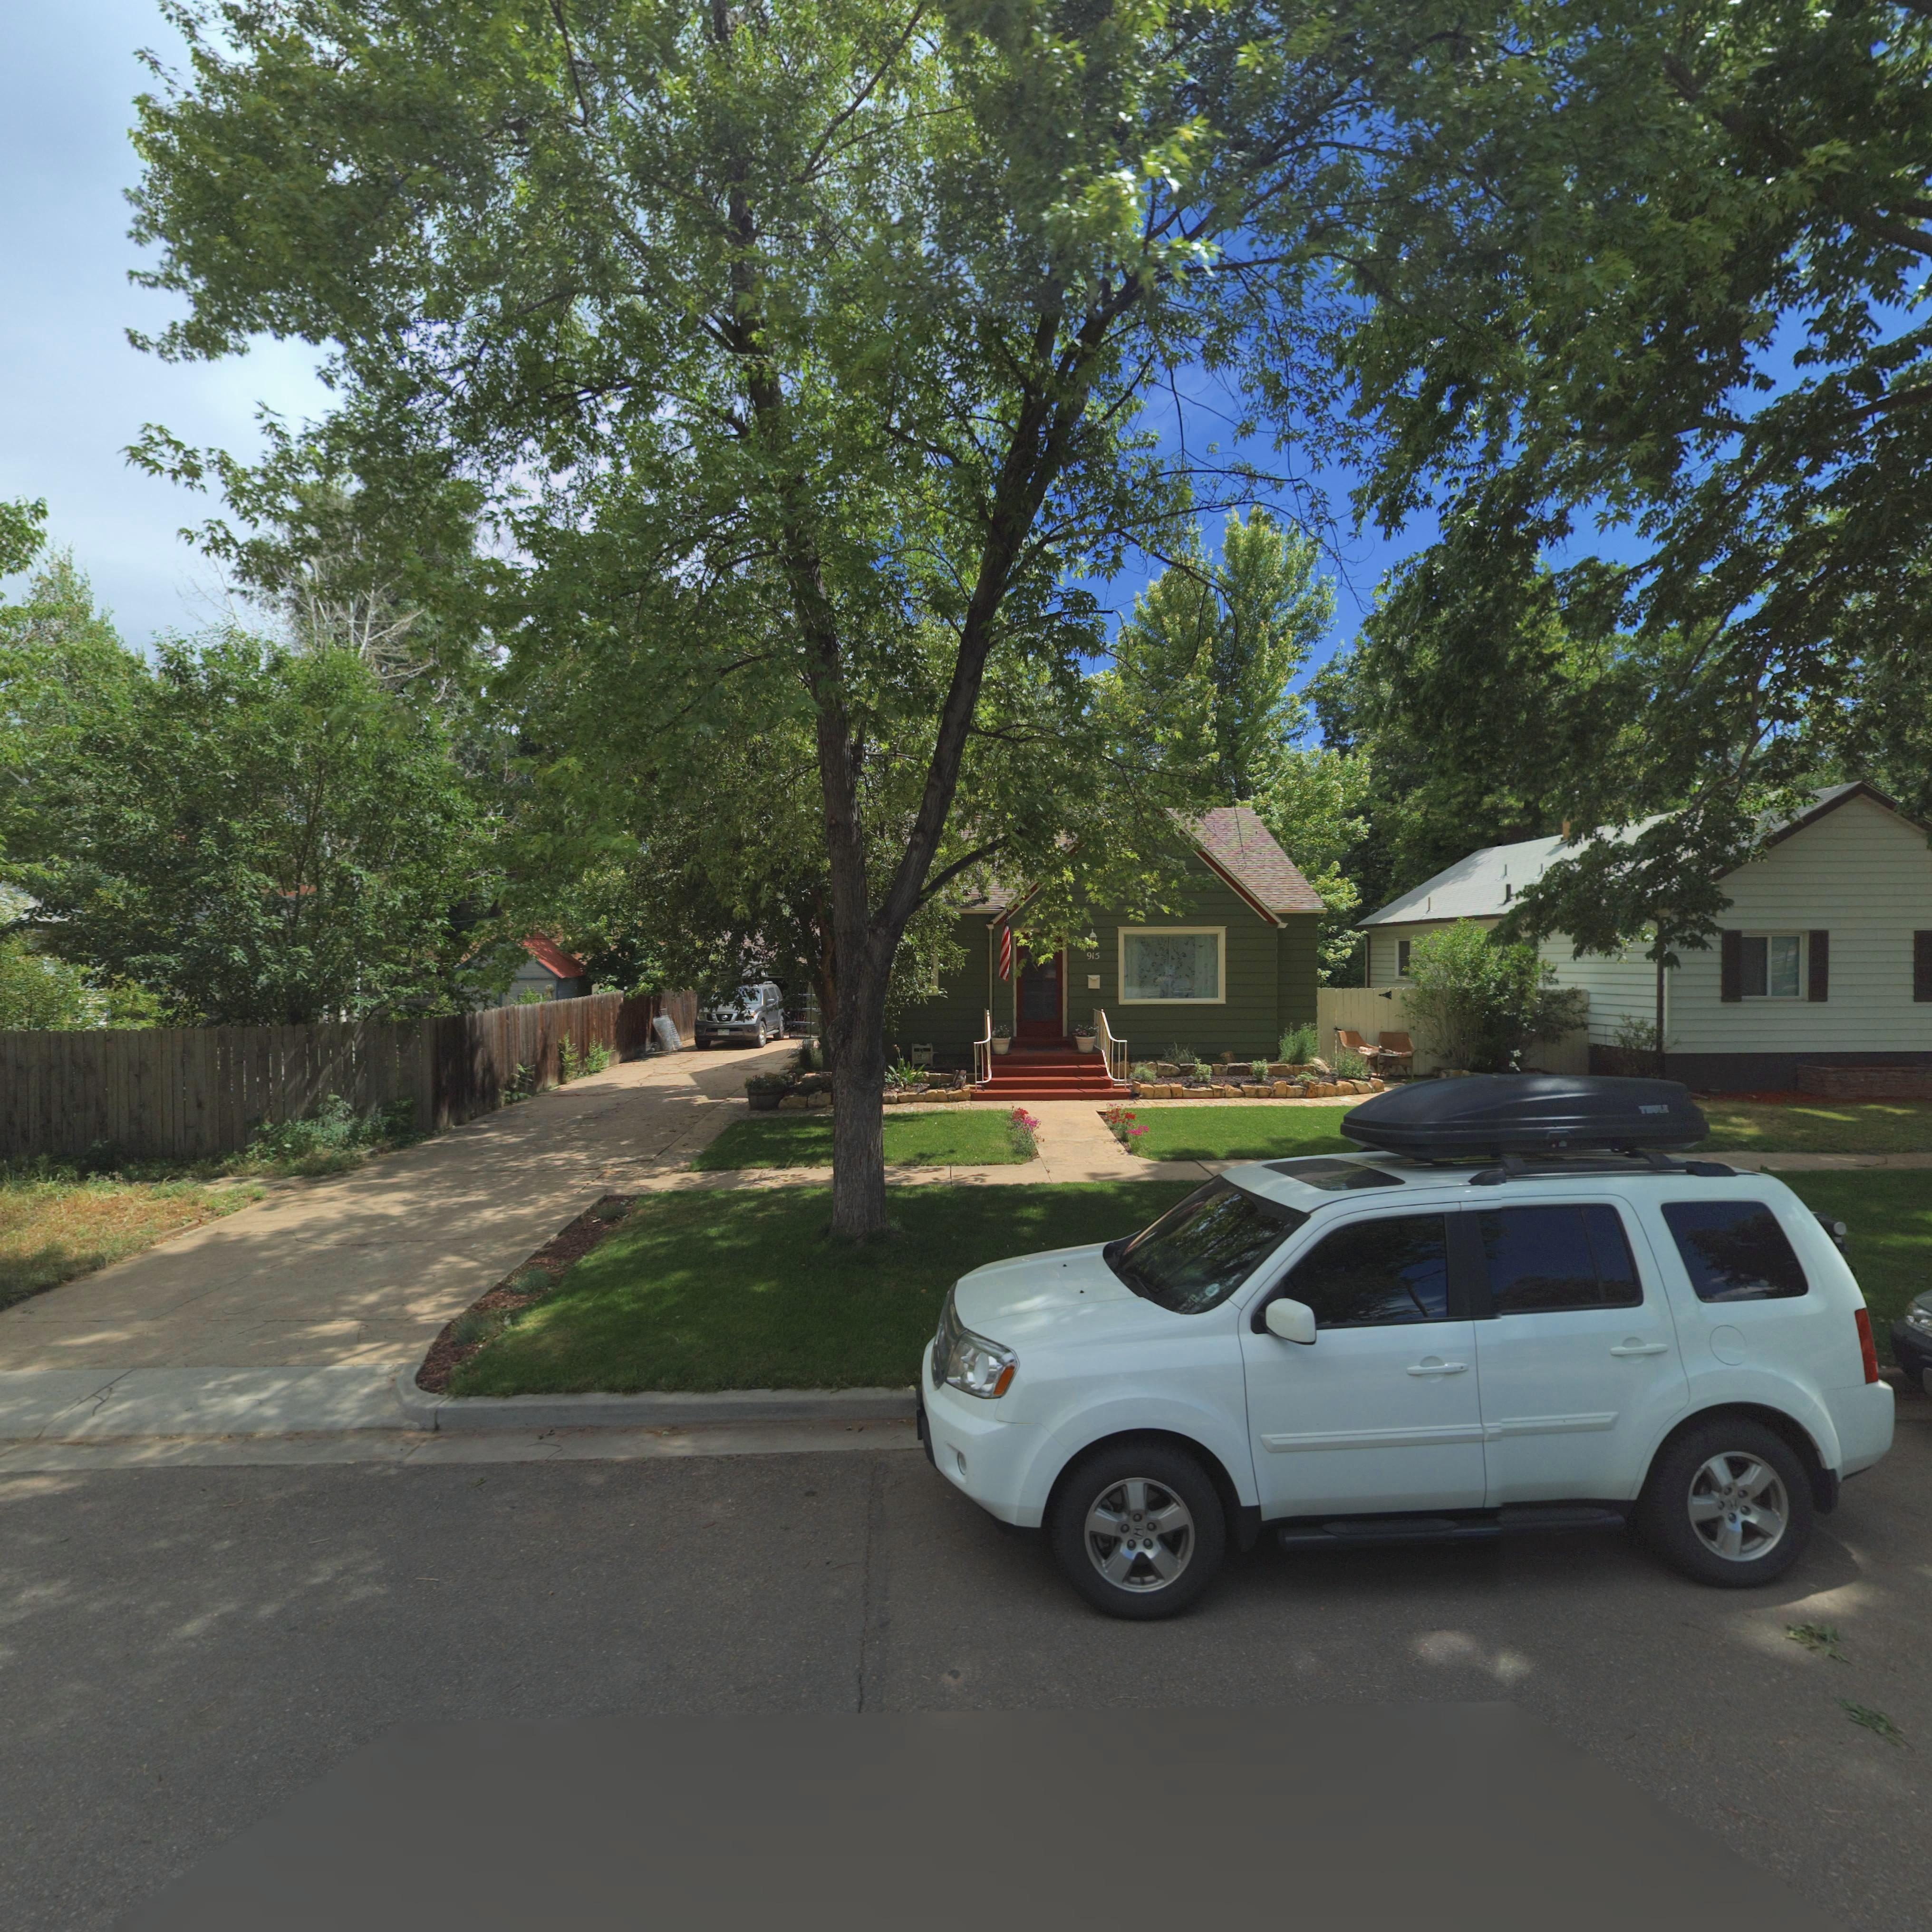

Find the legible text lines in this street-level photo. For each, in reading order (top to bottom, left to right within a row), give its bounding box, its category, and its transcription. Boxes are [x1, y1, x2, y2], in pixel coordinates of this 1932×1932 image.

[1086, 951, 1100, 960] StreetNumber: 915